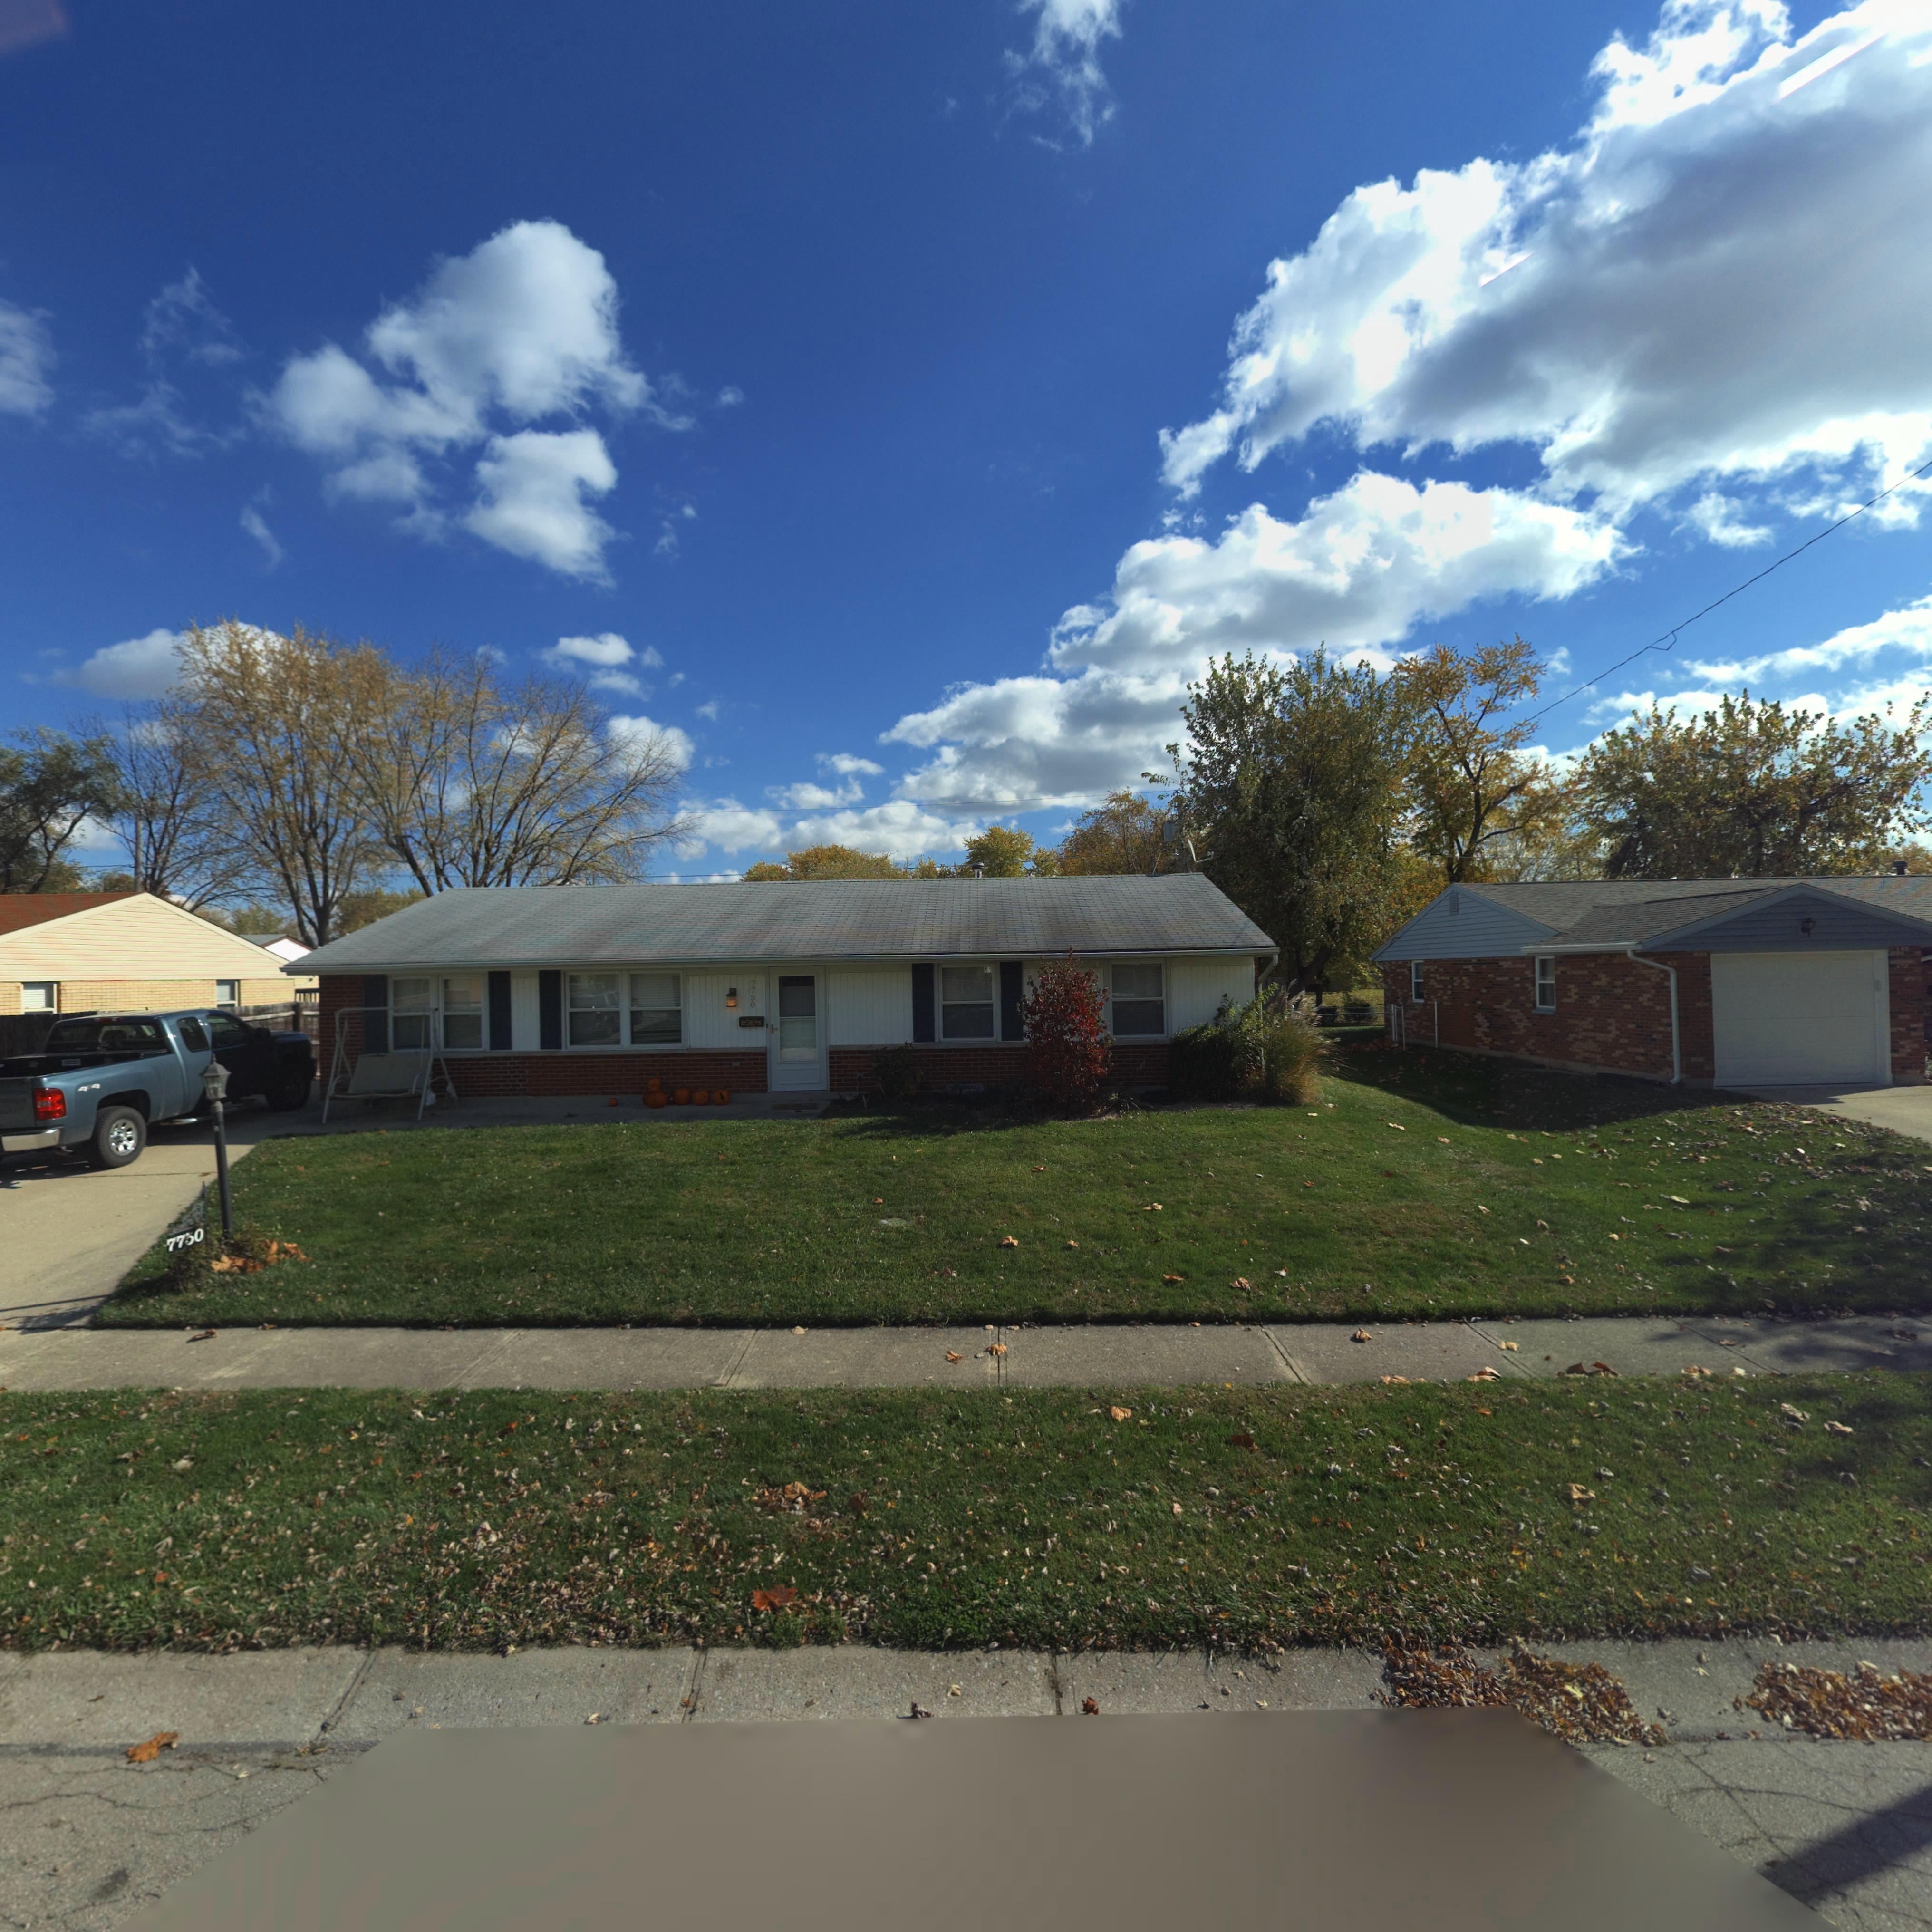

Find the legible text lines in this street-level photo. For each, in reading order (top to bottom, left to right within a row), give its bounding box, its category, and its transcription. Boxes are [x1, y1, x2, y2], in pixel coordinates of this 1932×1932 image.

[749, 979, 756, 1008] StreetNumber: 7750
[165, 1227, 205, 1253] StreetNumber: 7750